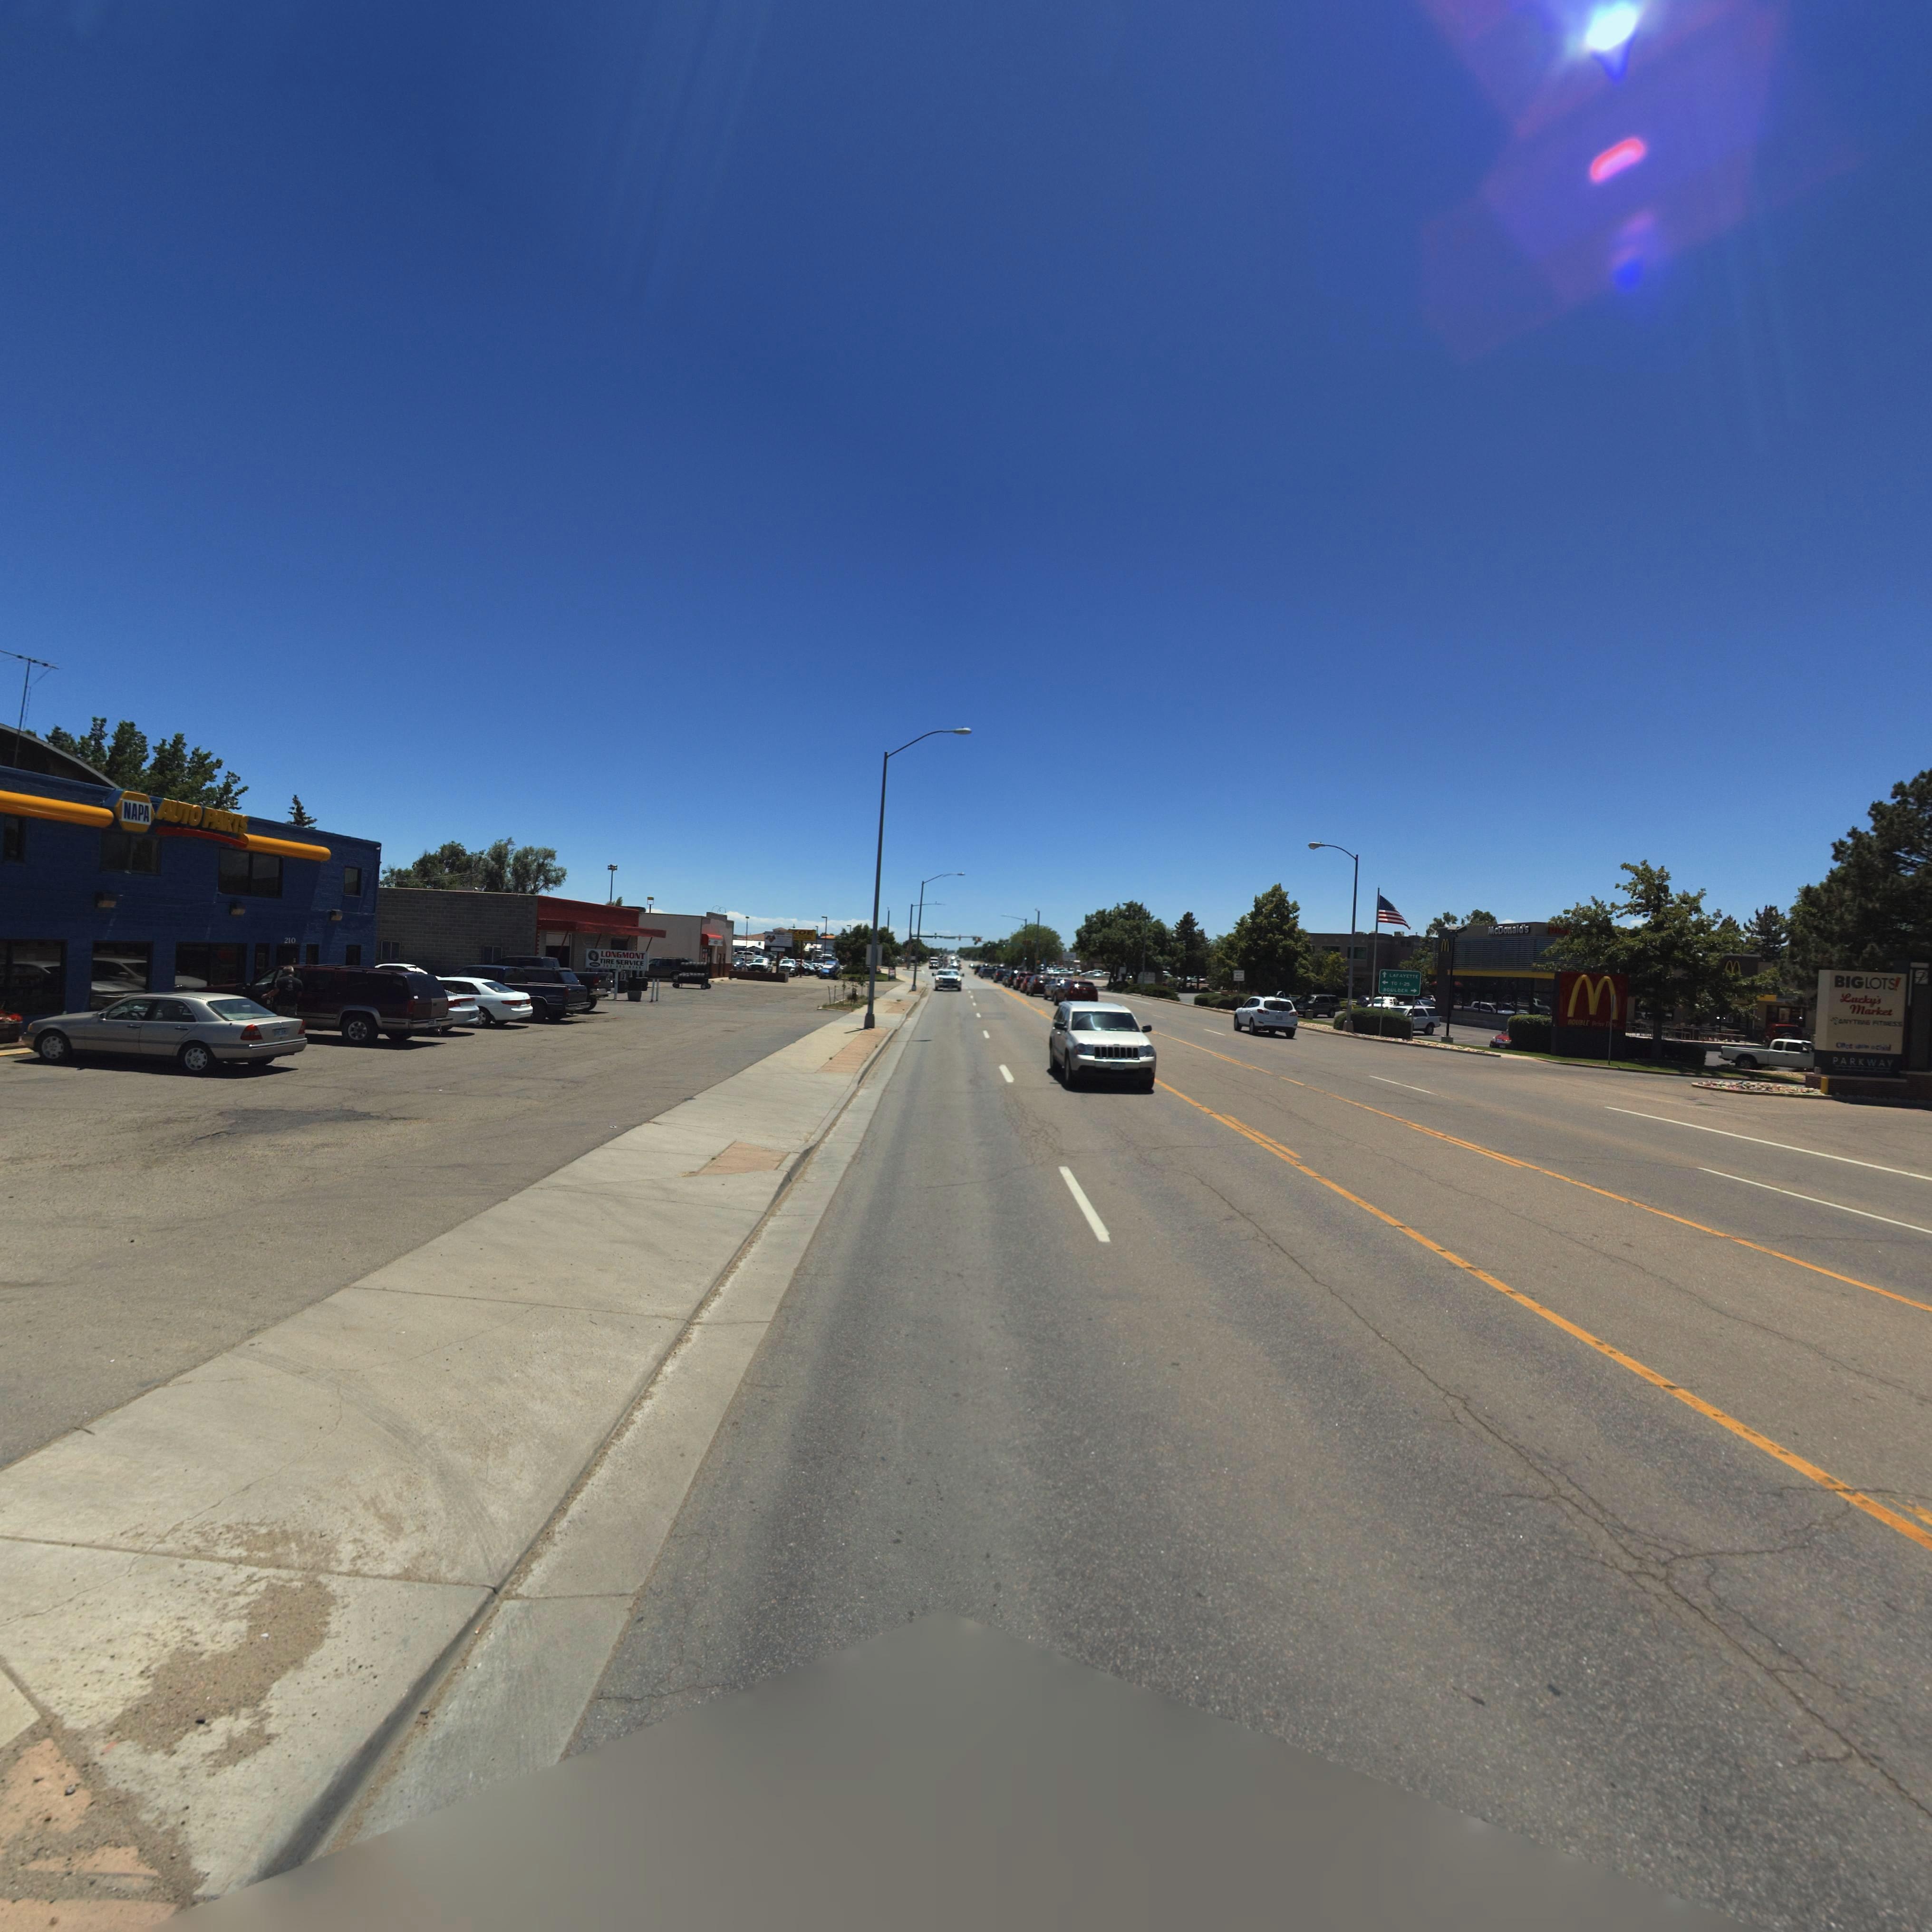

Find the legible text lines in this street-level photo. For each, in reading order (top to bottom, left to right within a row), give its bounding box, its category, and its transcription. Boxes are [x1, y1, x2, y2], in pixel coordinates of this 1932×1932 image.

[123, 801, 150, 823] BusinessName: NAPA
[155, 798, 249, 835] BusinessName: AUTO PARTS
[792, 930, 814, 935] BusinessName: ZOE
[1488, 924, 1529, 935] BusinessName: McDonald's
[283, 937, 296, 944] StreetNumber: 210
[600, 951, 645, 959] BusinessName: LONGMONT
[599, 958, 644, 966] BusinessName: TIRE SERVICE
[1834, 975, 1903, 991] BusinessName: BIGLOTS*
[1840, 993, 1882, 1006] BusinessName: Lucky's
[1849, 1004, 1894, 1016] BusinessName: Market
[1837, 1018, 1903, 1027] BusinessName: *NYT*ME FITNESS